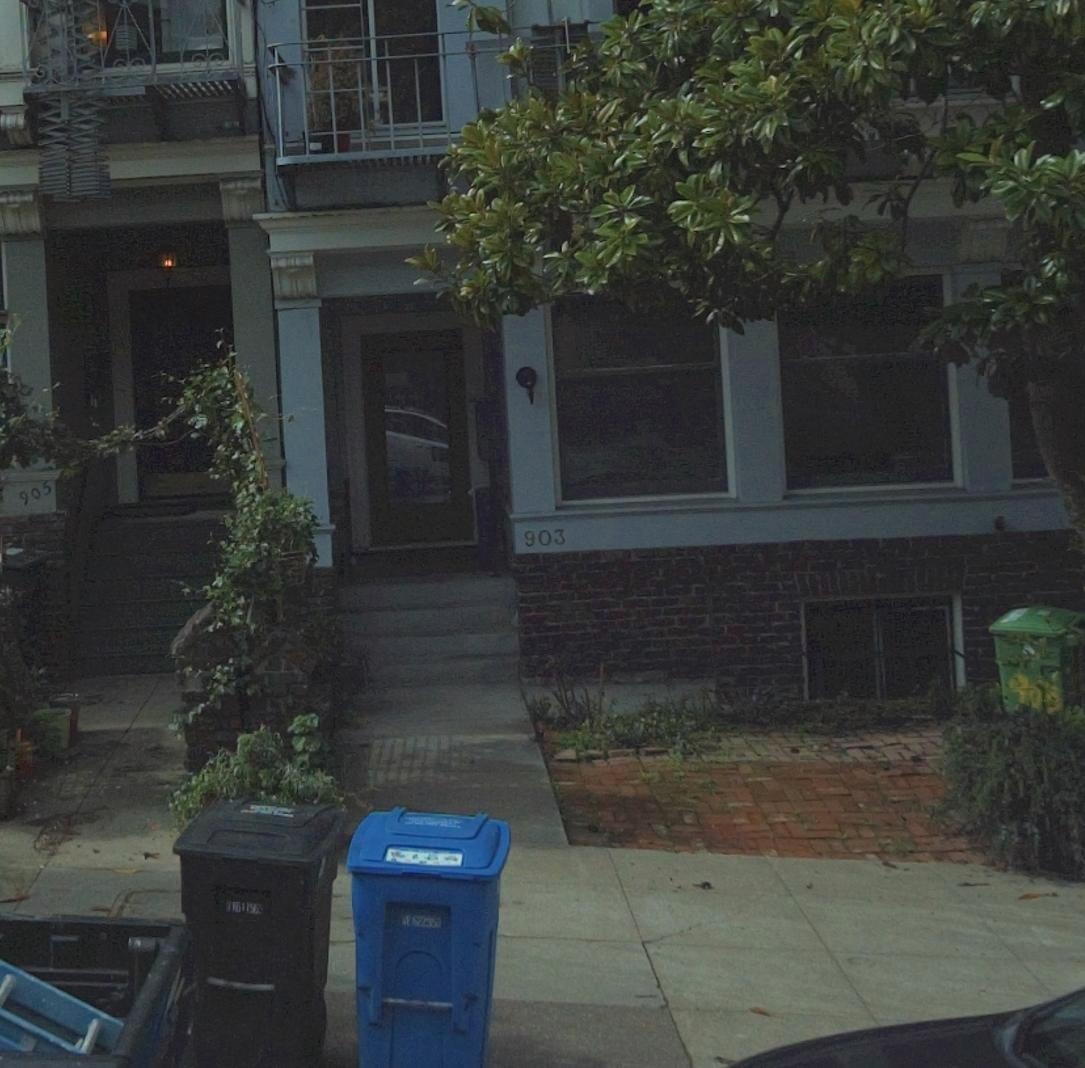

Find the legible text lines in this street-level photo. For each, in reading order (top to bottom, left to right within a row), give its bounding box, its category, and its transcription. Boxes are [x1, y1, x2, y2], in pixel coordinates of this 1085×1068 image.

[16, 477, 54, 508] StreetNumber: 905
[521, 525, 569, 550] StreetNumber: 903